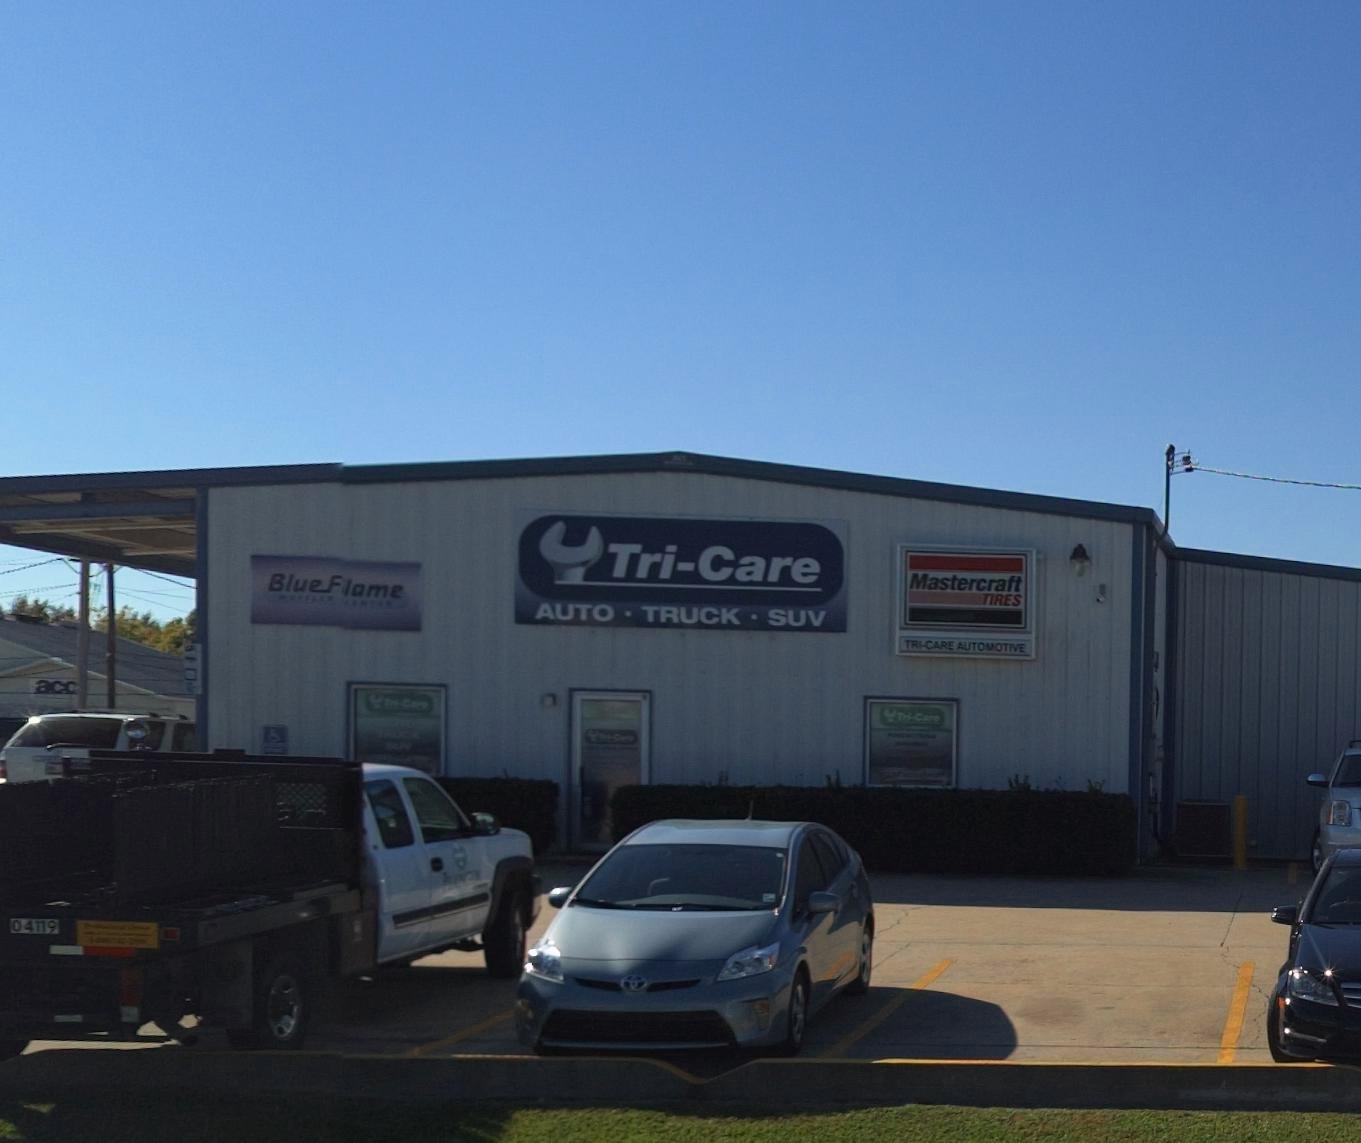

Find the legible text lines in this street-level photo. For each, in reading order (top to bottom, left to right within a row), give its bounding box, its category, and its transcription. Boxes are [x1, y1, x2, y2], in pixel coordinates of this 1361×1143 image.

[605, 541, 825, 588] BusinessName: Tri-Care
[264, 570, 407, 601] None: Blue F*ame
[906, 570, 1025, 594] None: Mastcraft
[979, 592, 1025, 609] None: TIRES
[530, 599, 832, 629] None: AUTO * TRUCK * SUV
[902, 637, 1028, 655] BusinessName: TRI-CARE AUTOMOTIVE
[32, 678, 79, 696] BusinessName: acc
[894, 711, 944, 724] BusinessName: Tri-Care
[9, 917, 60, 935] None: 04119